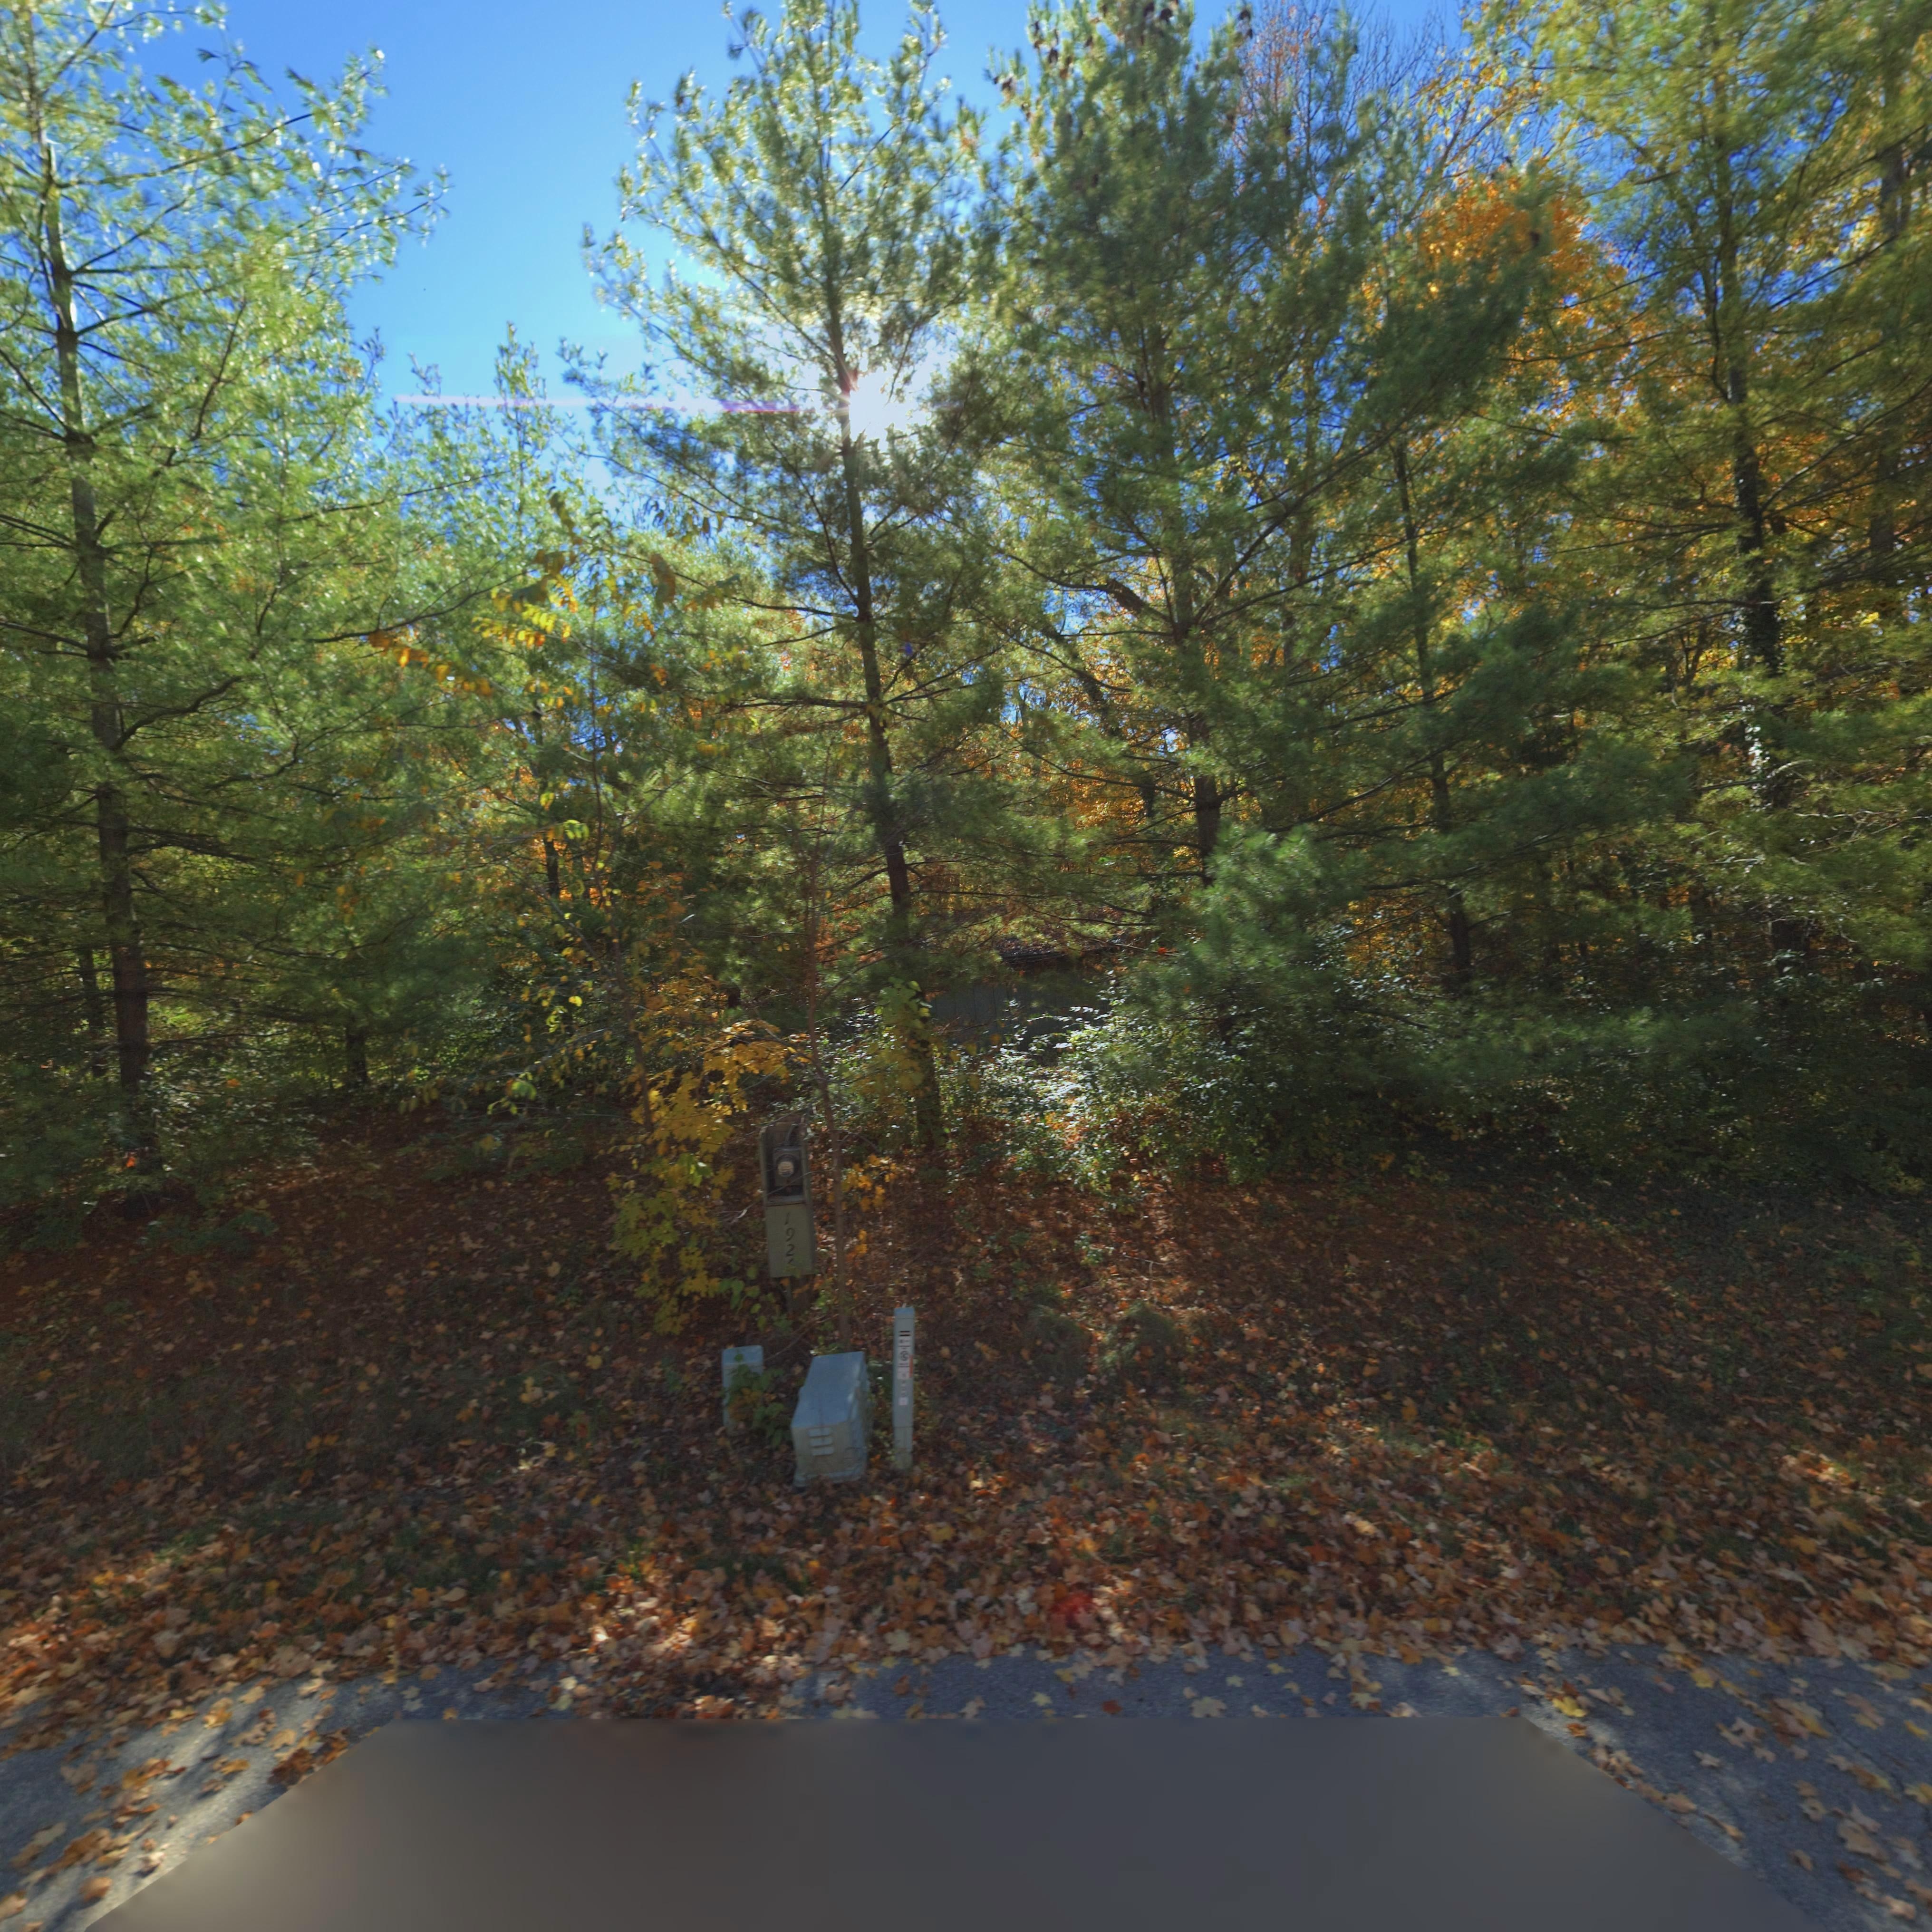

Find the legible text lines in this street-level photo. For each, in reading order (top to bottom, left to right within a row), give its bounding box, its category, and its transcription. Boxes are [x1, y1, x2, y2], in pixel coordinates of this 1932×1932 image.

[782, 1211, 796, 1258] StreetNumber: 192